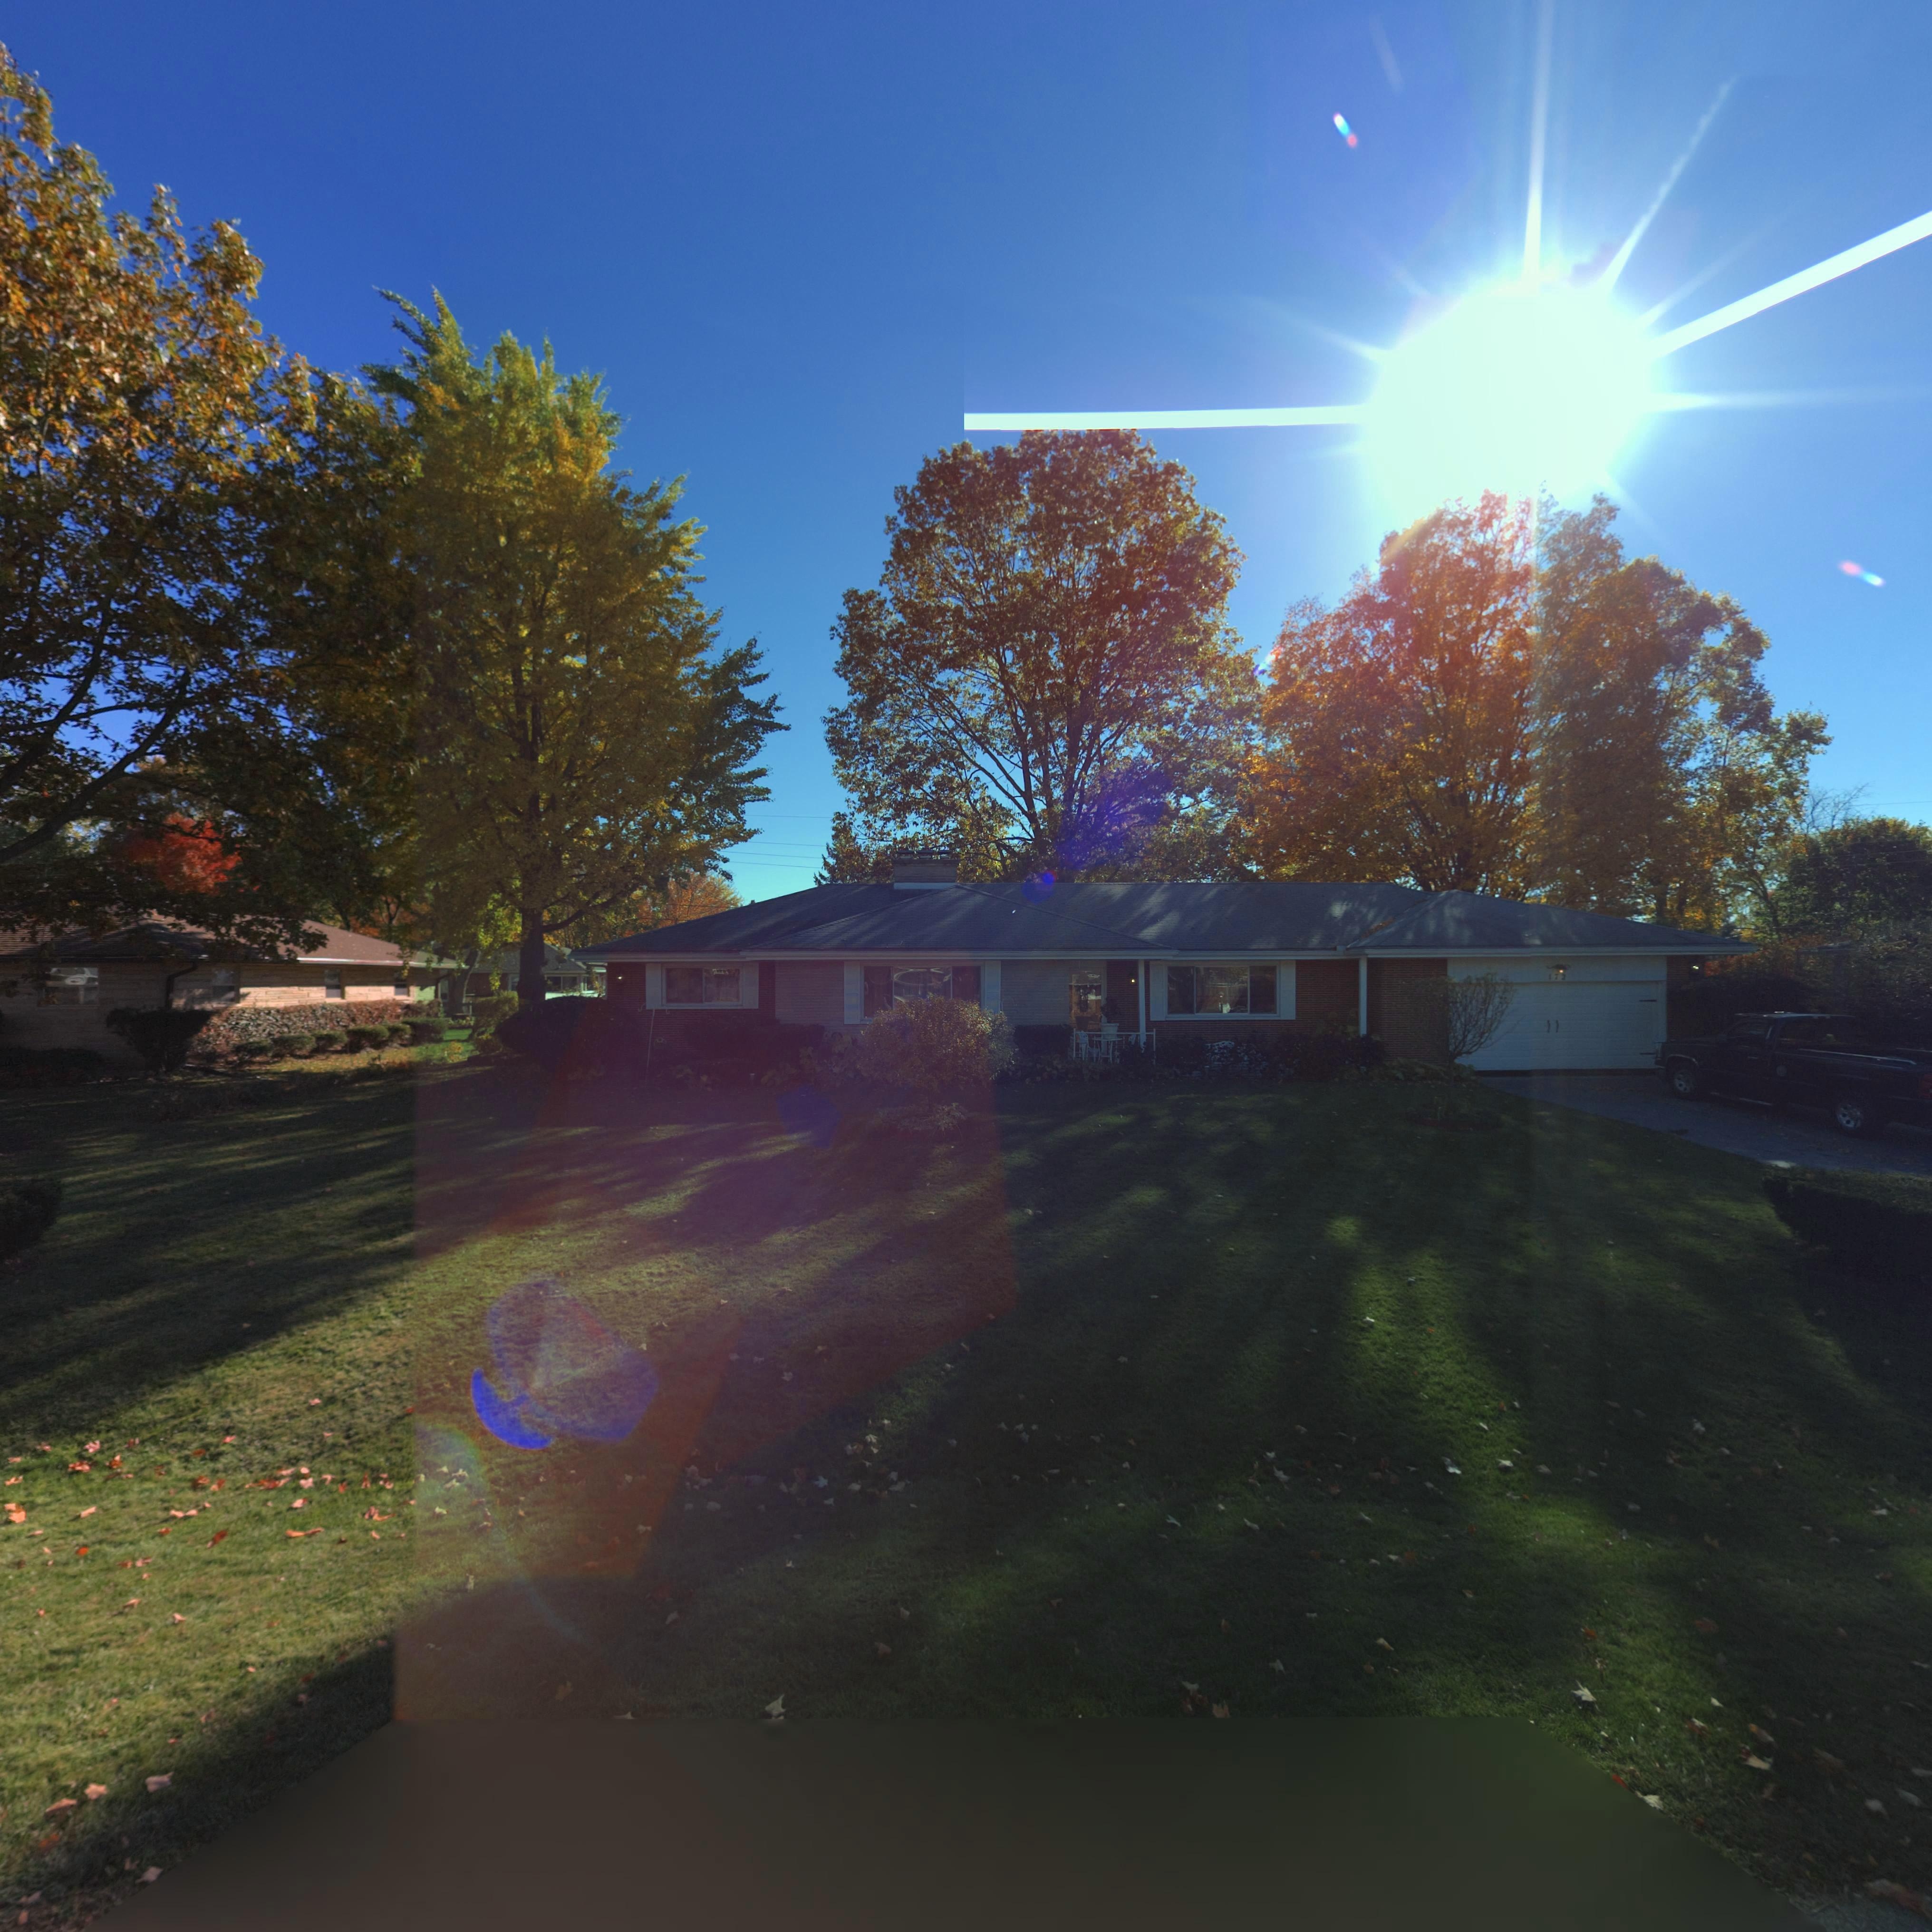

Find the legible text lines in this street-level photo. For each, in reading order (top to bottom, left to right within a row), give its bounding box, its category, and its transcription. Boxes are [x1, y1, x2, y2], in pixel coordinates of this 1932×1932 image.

[1547, 972, 1566, 981] StreetNumber: 172